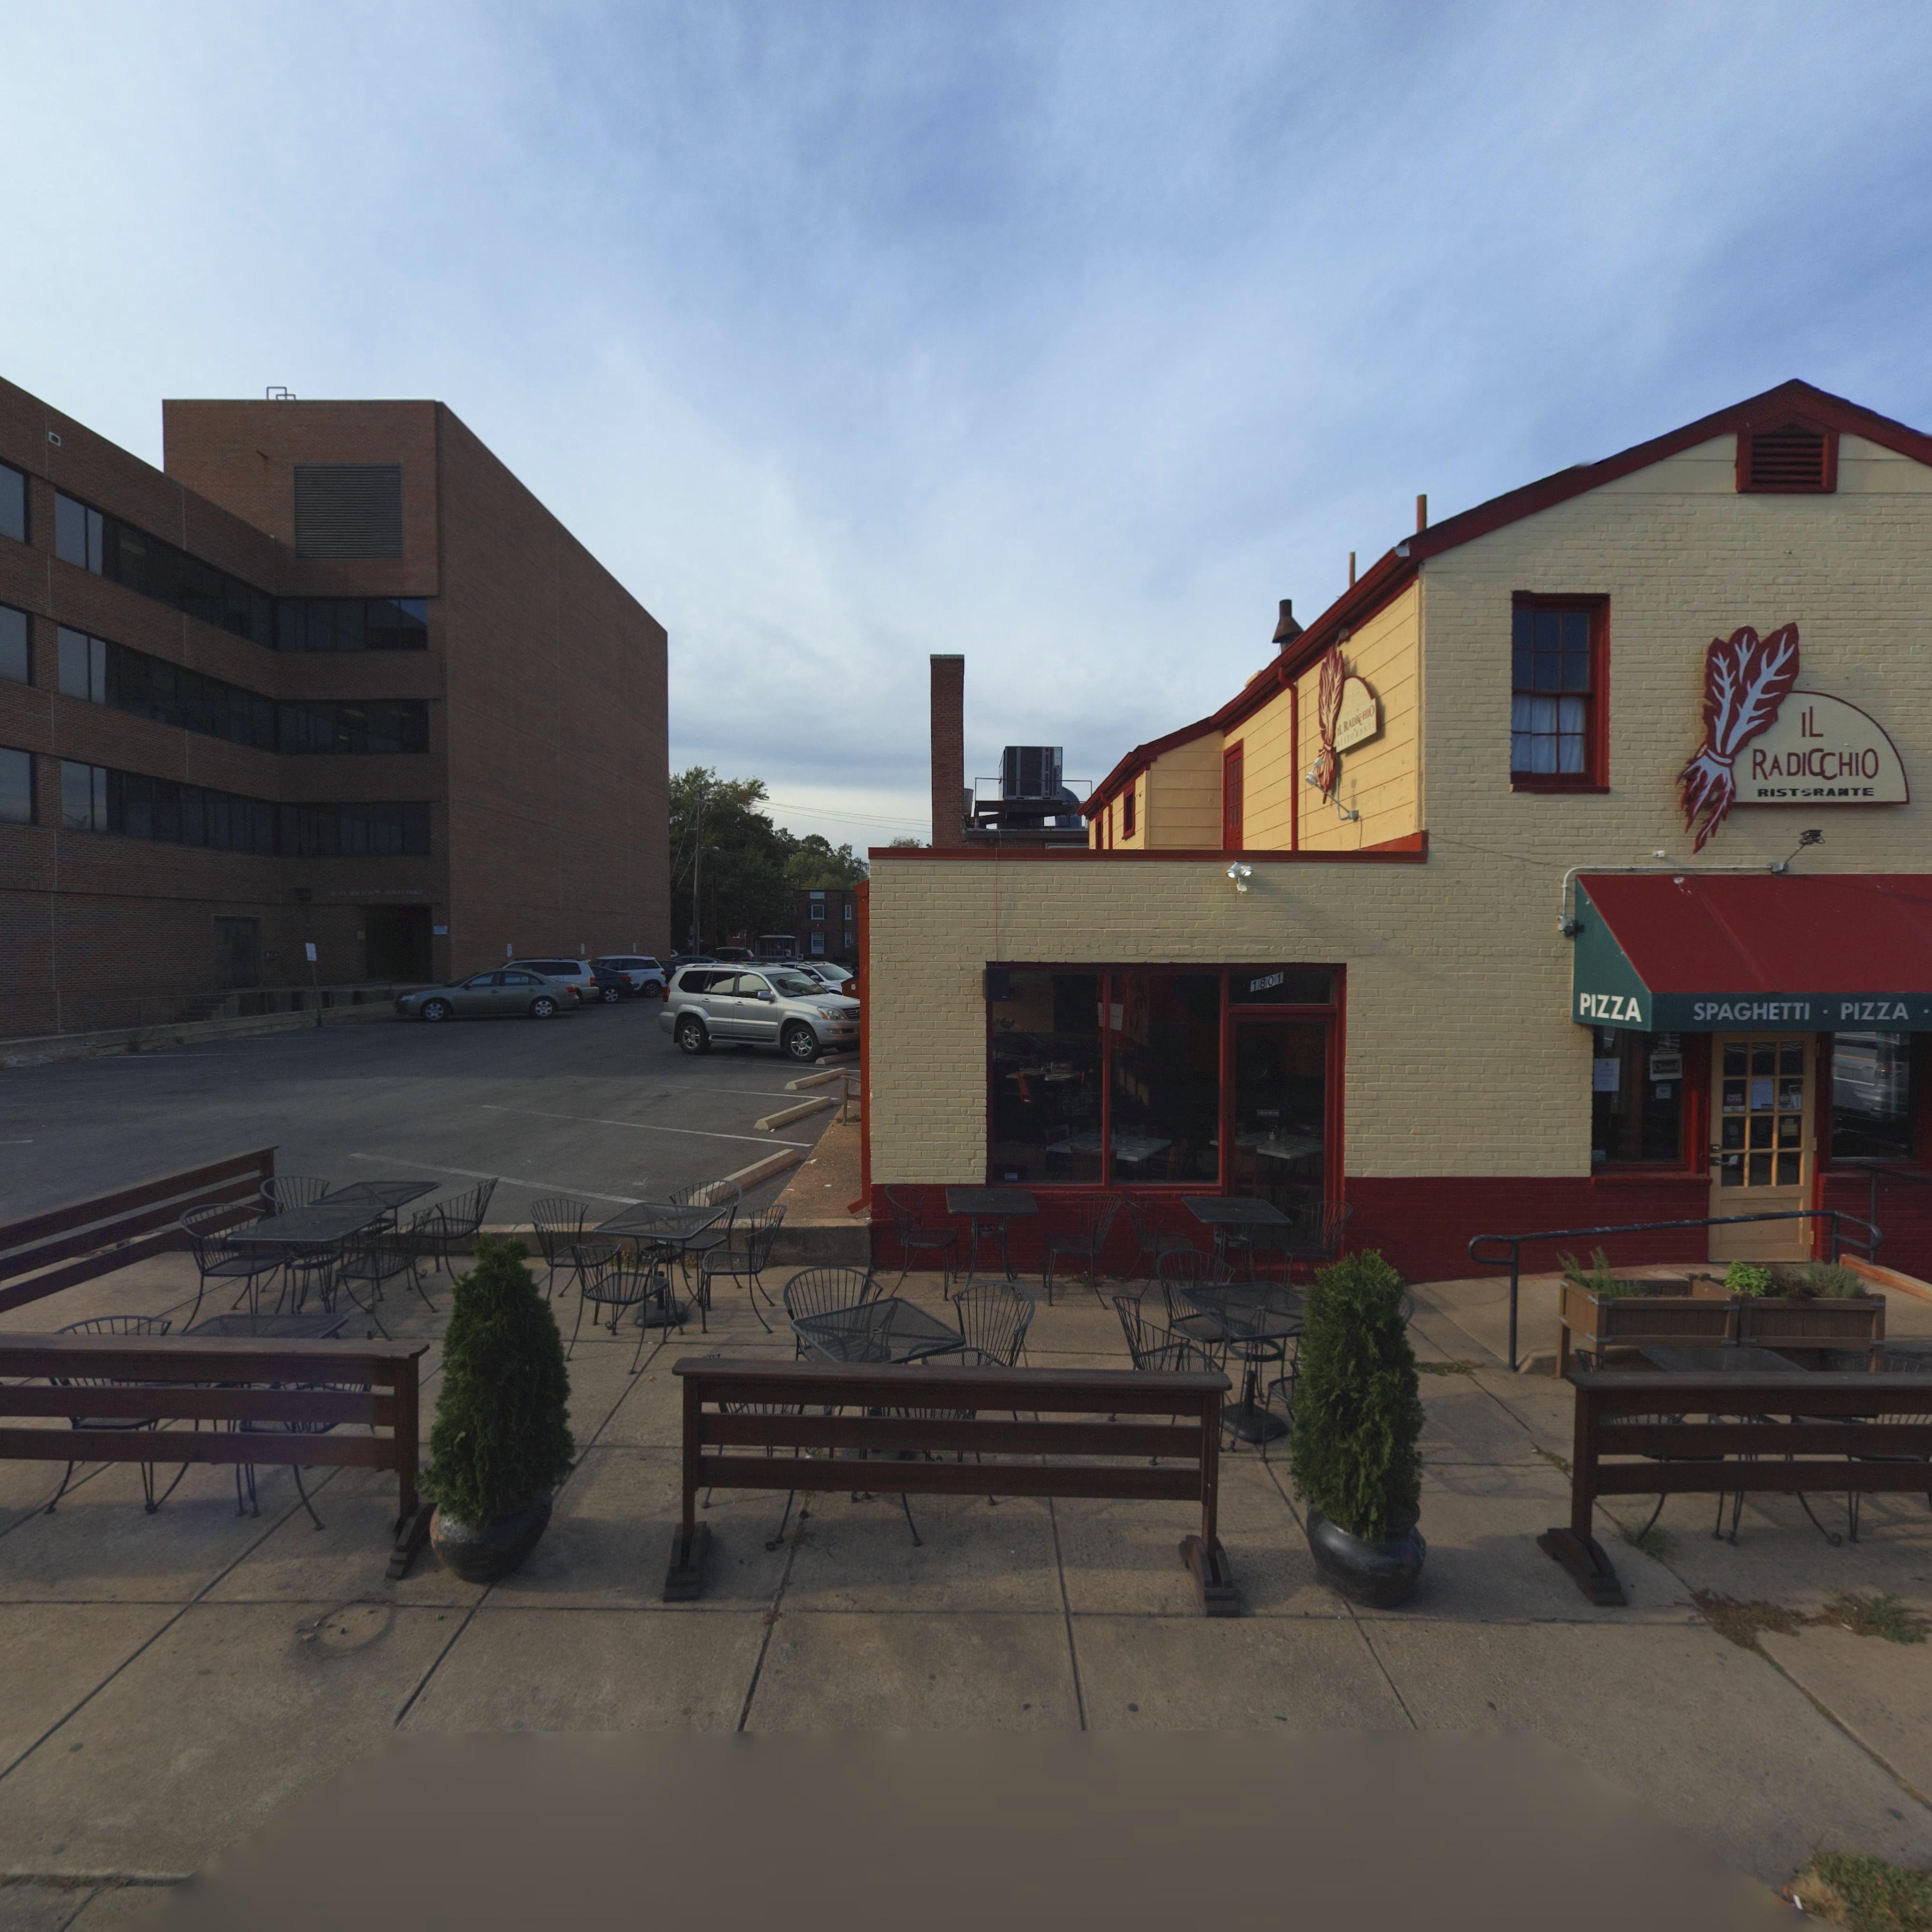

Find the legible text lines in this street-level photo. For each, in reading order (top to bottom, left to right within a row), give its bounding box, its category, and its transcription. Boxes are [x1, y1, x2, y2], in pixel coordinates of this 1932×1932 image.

[1799, 703, 1826, 739] BusinessName: IL
[1750, 746, 1881, 782] BusinessName: RADI**HIO
[1756, 786, 1876, 799] None: RIST*RANTE
[1251, 972, 1282, 992] StreetNumber: 1801
[1576, 989, 1645, 1024] None: PIZZA
[1691, 1000, 1913, 1022] None: SPAGHETTI * PIZZA